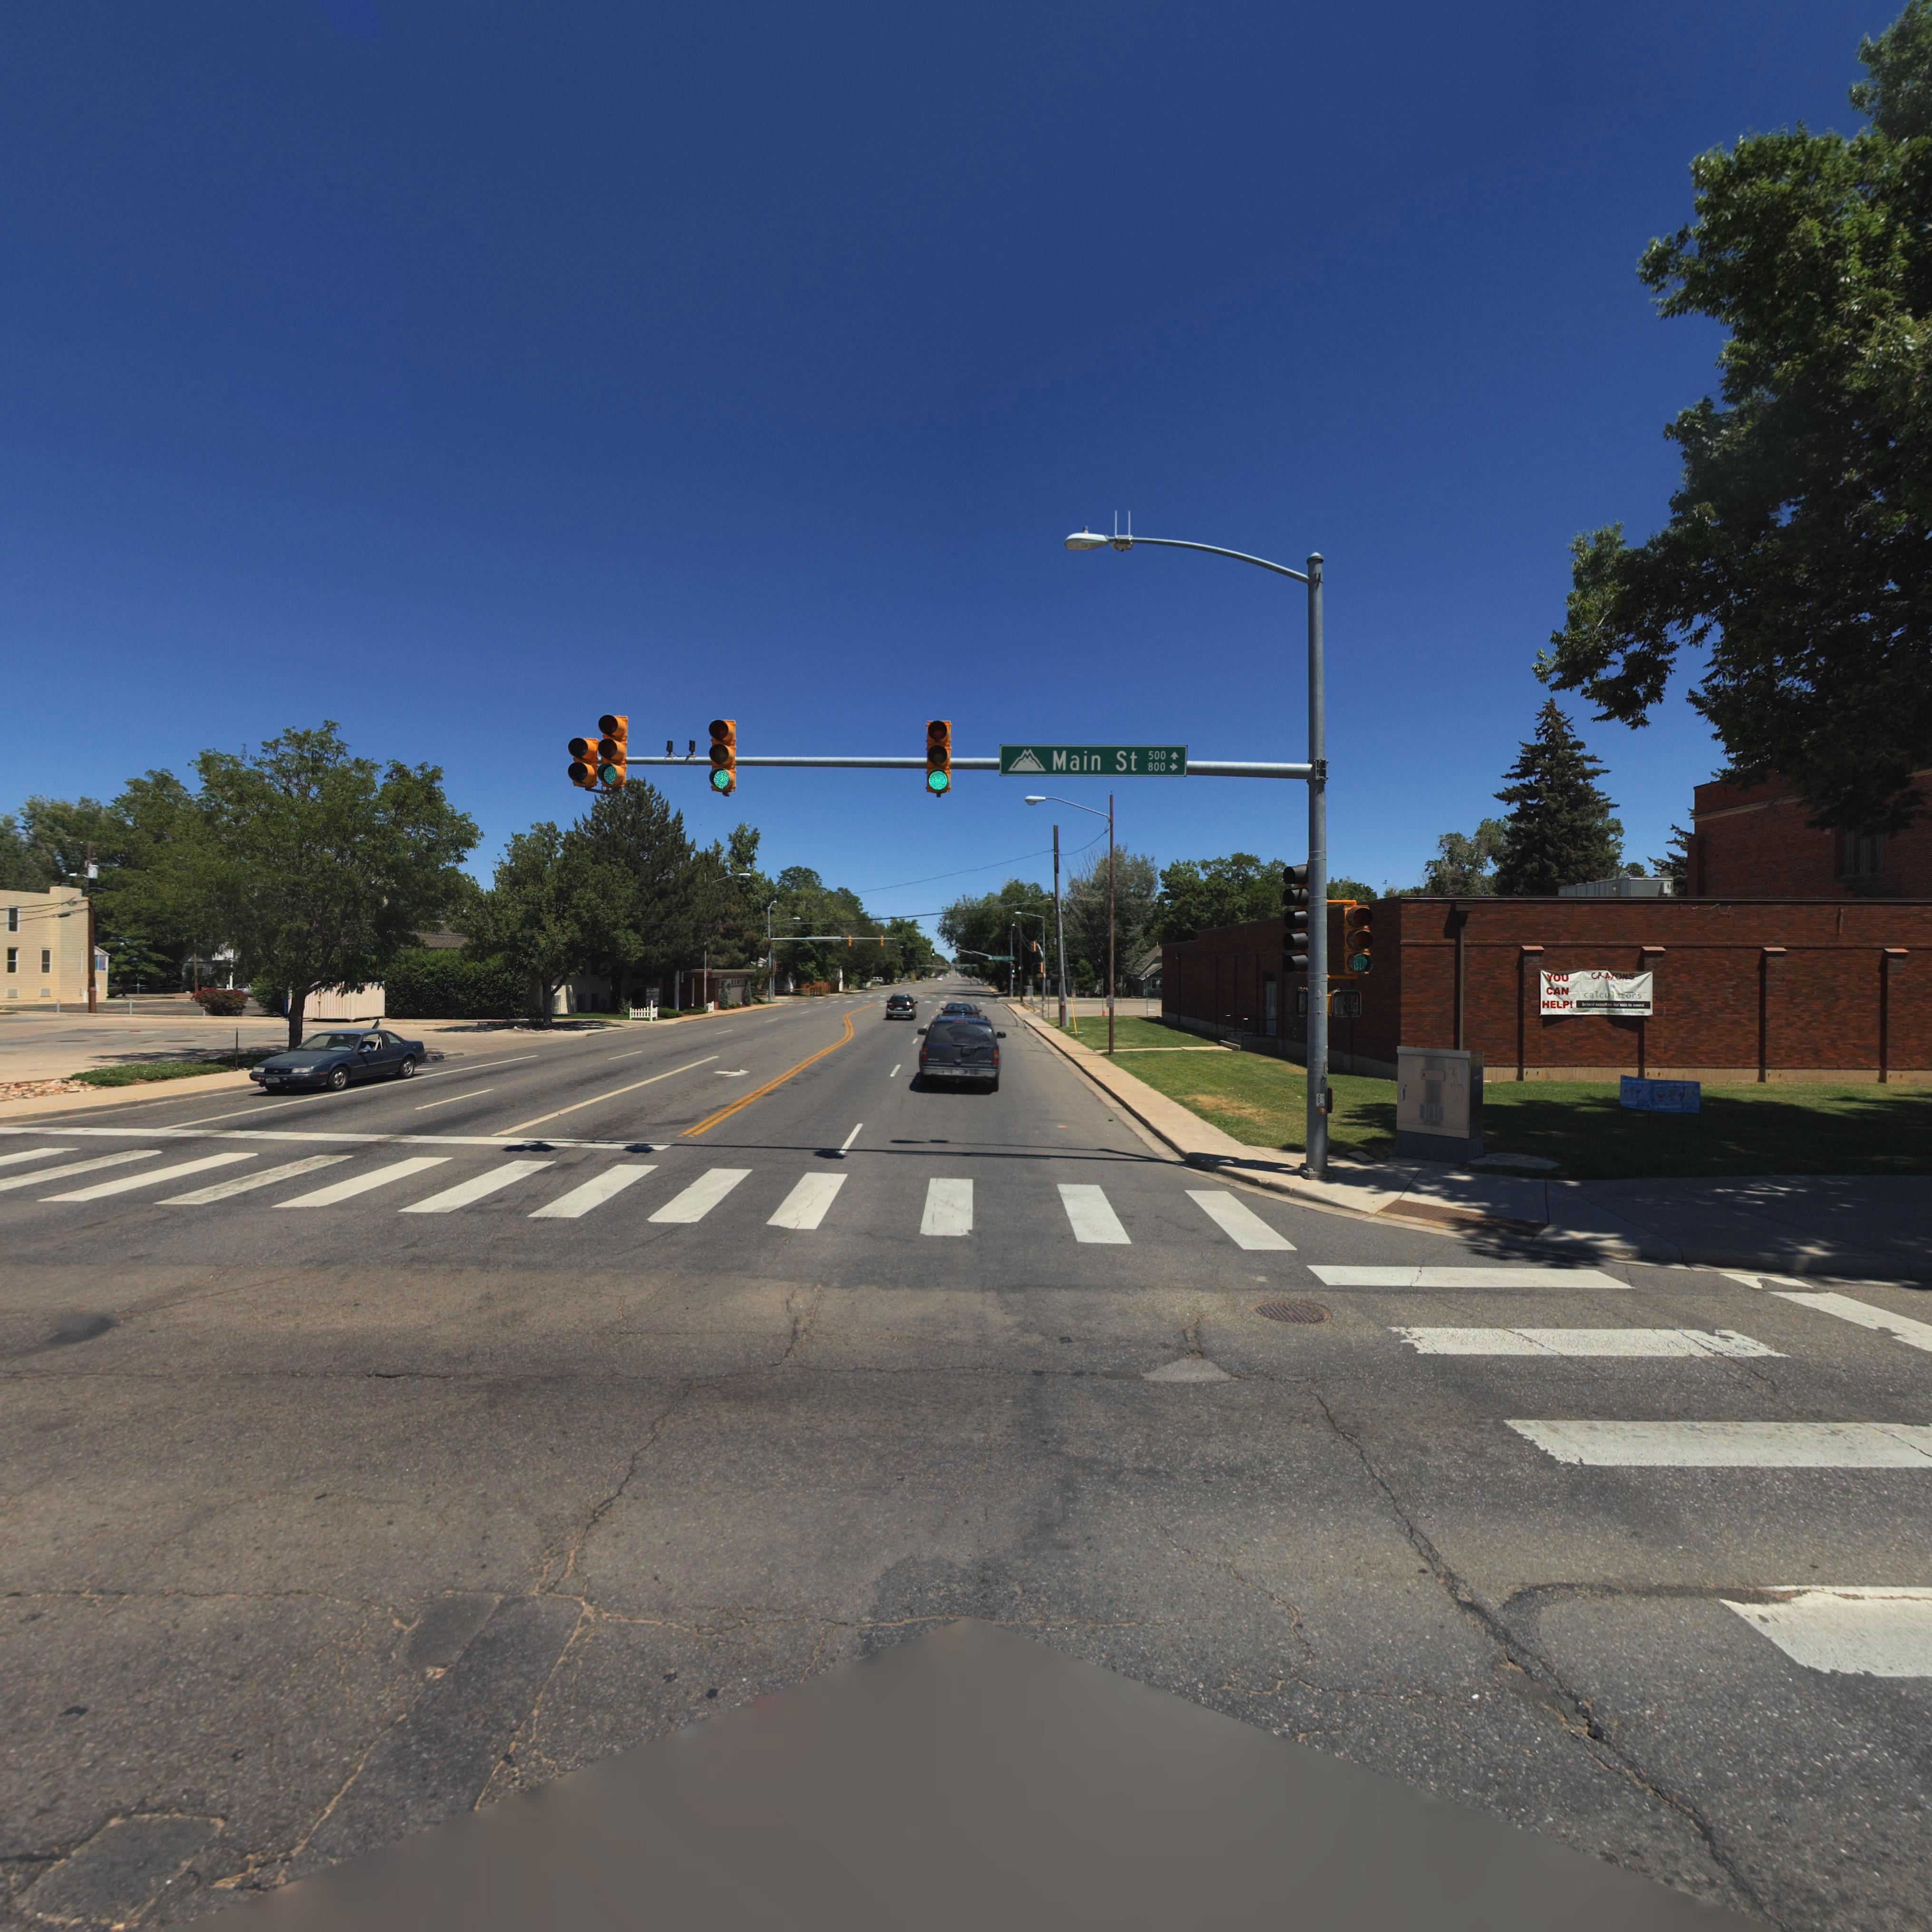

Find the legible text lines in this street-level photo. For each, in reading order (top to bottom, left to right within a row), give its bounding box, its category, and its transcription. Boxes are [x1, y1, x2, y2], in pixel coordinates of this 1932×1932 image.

[1148, 750, 1166, 760] StreetNumberRange: 500
[1052, 749, 1138, 772] StreetName: Main St
[1147, 762, 1179, 772] StreetNumberRange: 800 ->